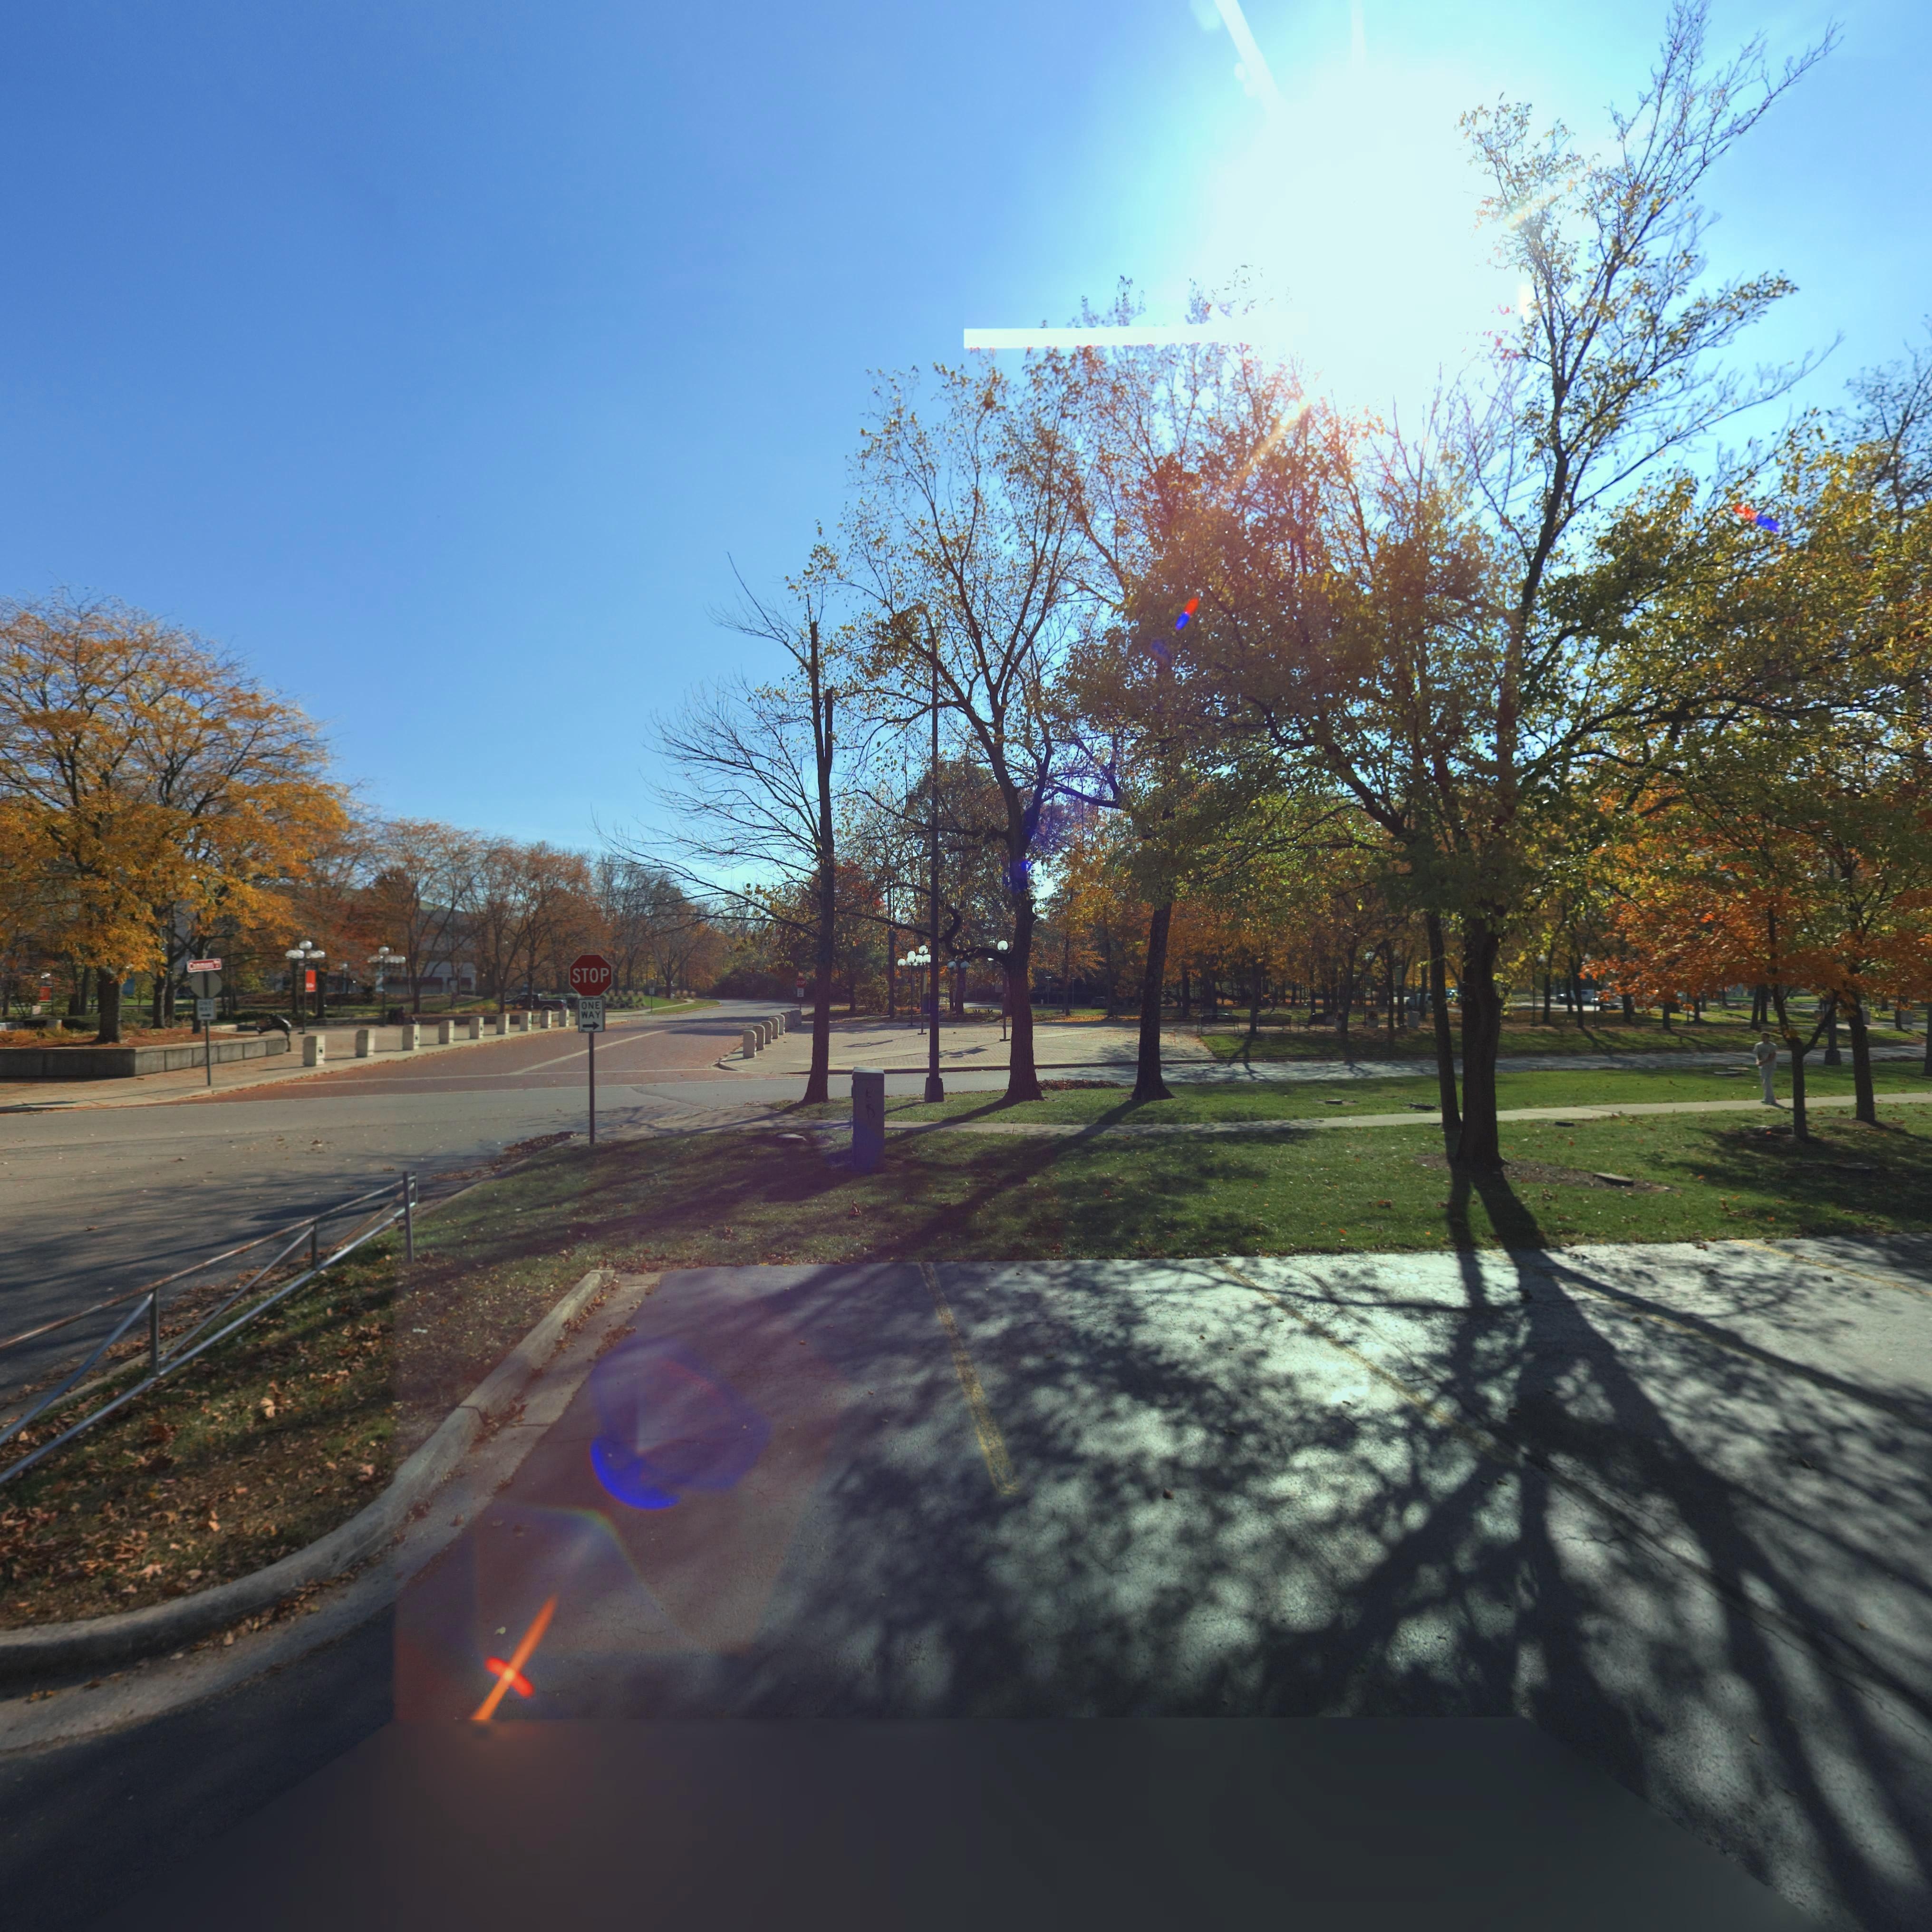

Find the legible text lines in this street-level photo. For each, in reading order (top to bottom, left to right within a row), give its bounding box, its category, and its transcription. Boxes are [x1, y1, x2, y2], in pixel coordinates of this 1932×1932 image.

[570, 966, 610, 985] None: STOP
[580, 1000, 601, 1011] None: ONE
[579, 1009, 603, 1020] None: WAY